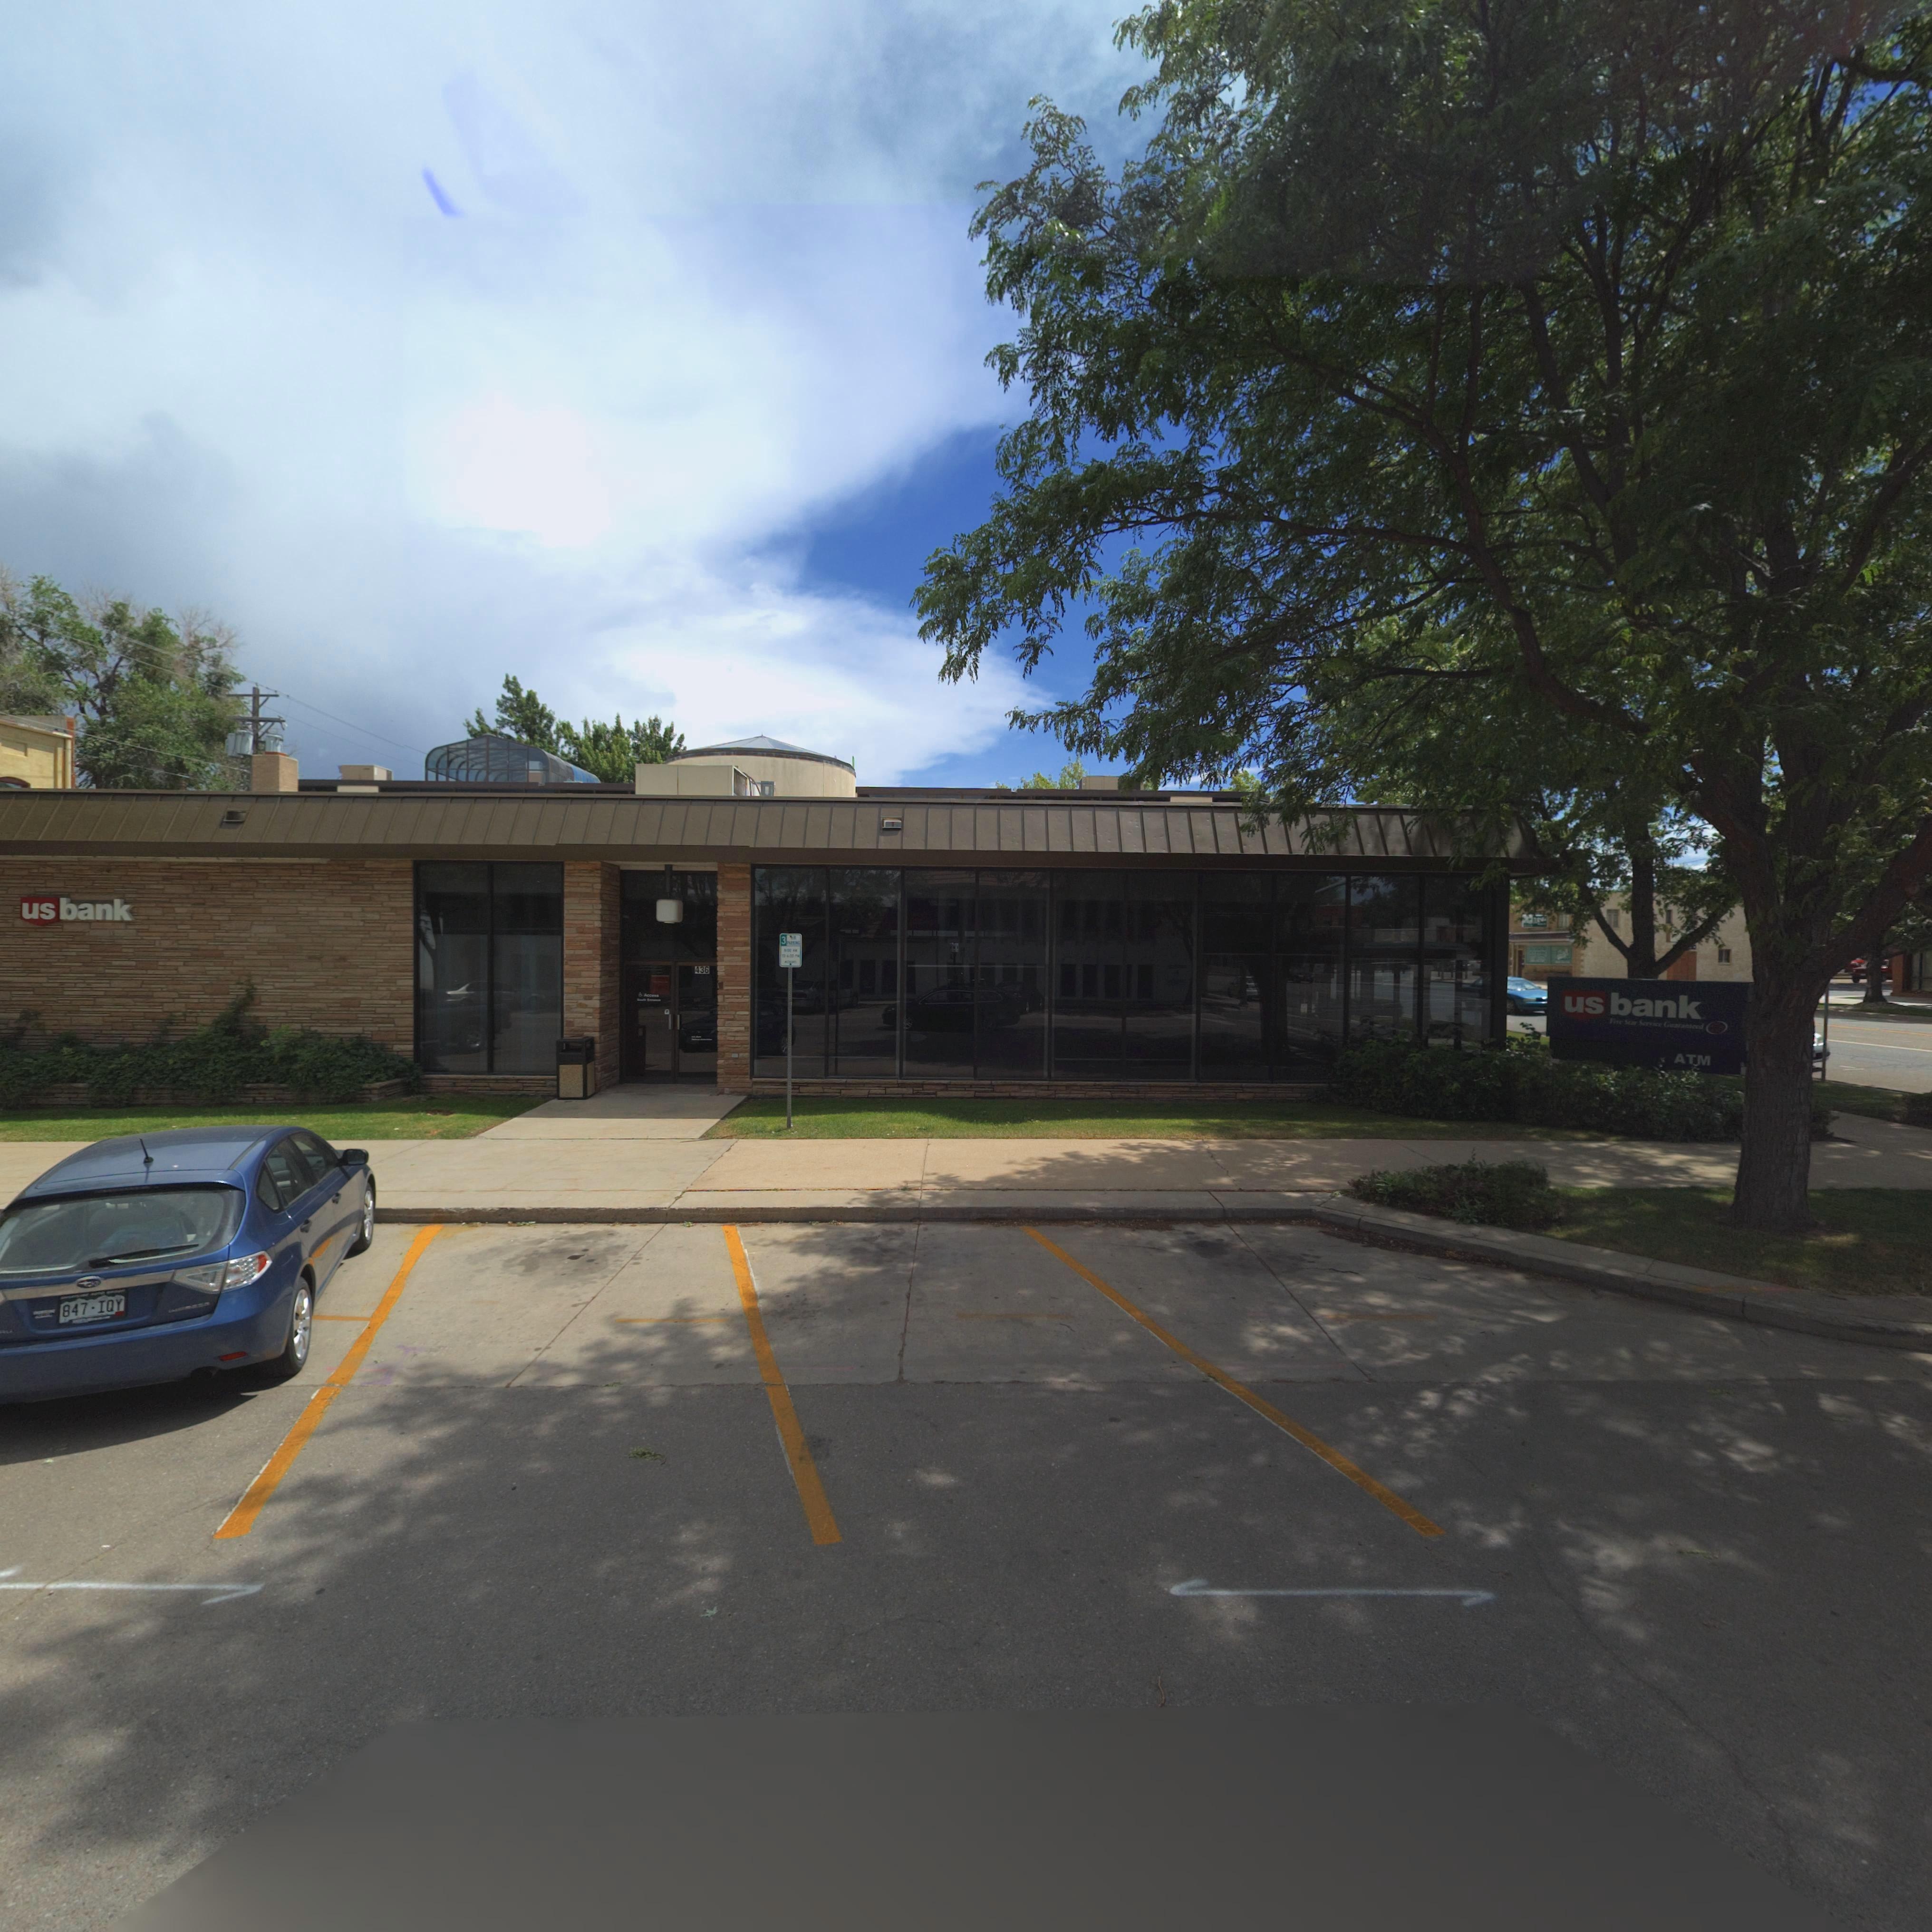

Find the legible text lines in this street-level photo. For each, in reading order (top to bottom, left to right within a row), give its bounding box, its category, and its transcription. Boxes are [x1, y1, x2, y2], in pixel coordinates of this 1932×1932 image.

[21, 897, 133, 920] BusinessName: usbank
[1521, 914, 1533, 927] BusinessName: pd
[694, 966, 709, 973] StreetNumber: 436
[1564, 992, 1701, 1020] BusinessName: usbank